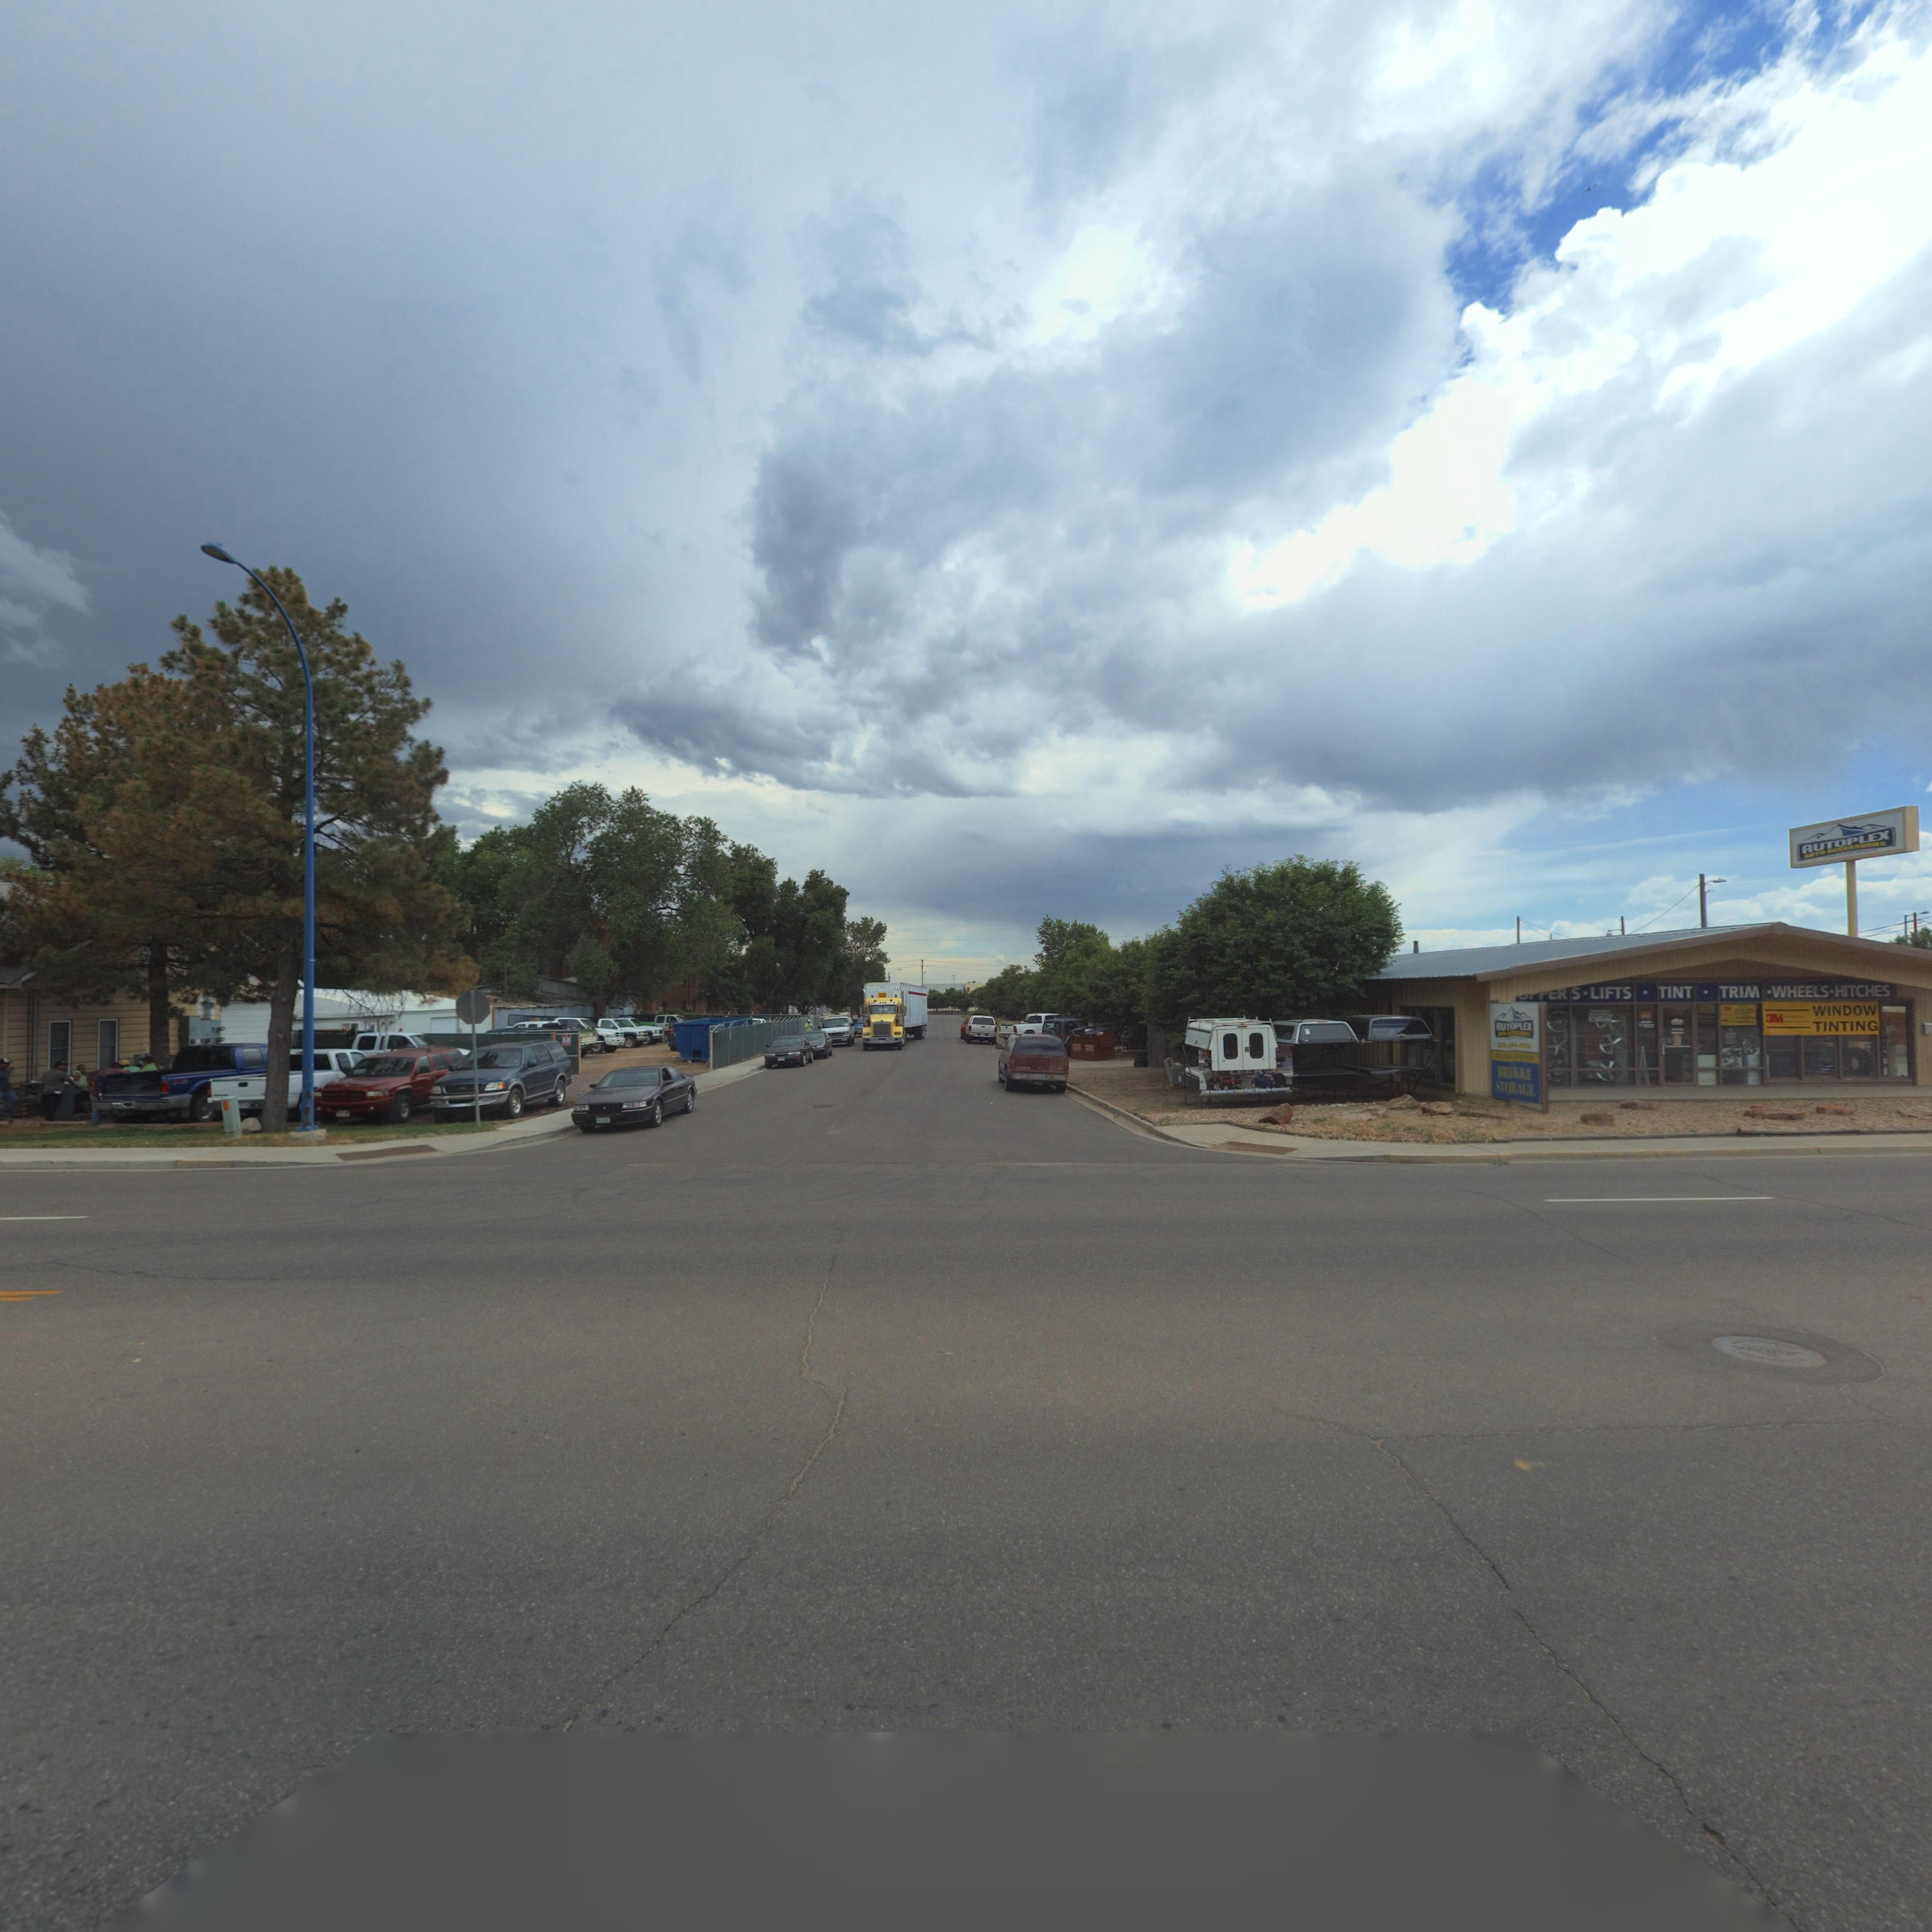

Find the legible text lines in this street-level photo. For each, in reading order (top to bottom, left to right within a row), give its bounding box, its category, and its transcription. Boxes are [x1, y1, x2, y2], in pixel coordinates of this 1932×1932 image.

[1800, 830, 1890, 854] BusinessName: AUTOPLEX
[1496, 1021, 1532, 1031] BusinessName: AUTOPLEX
[1497, 1065, 1534, 1081] BusinessName: BREKKE
[1494, 1079, 1536, 1098] BusinessName: STORAGE